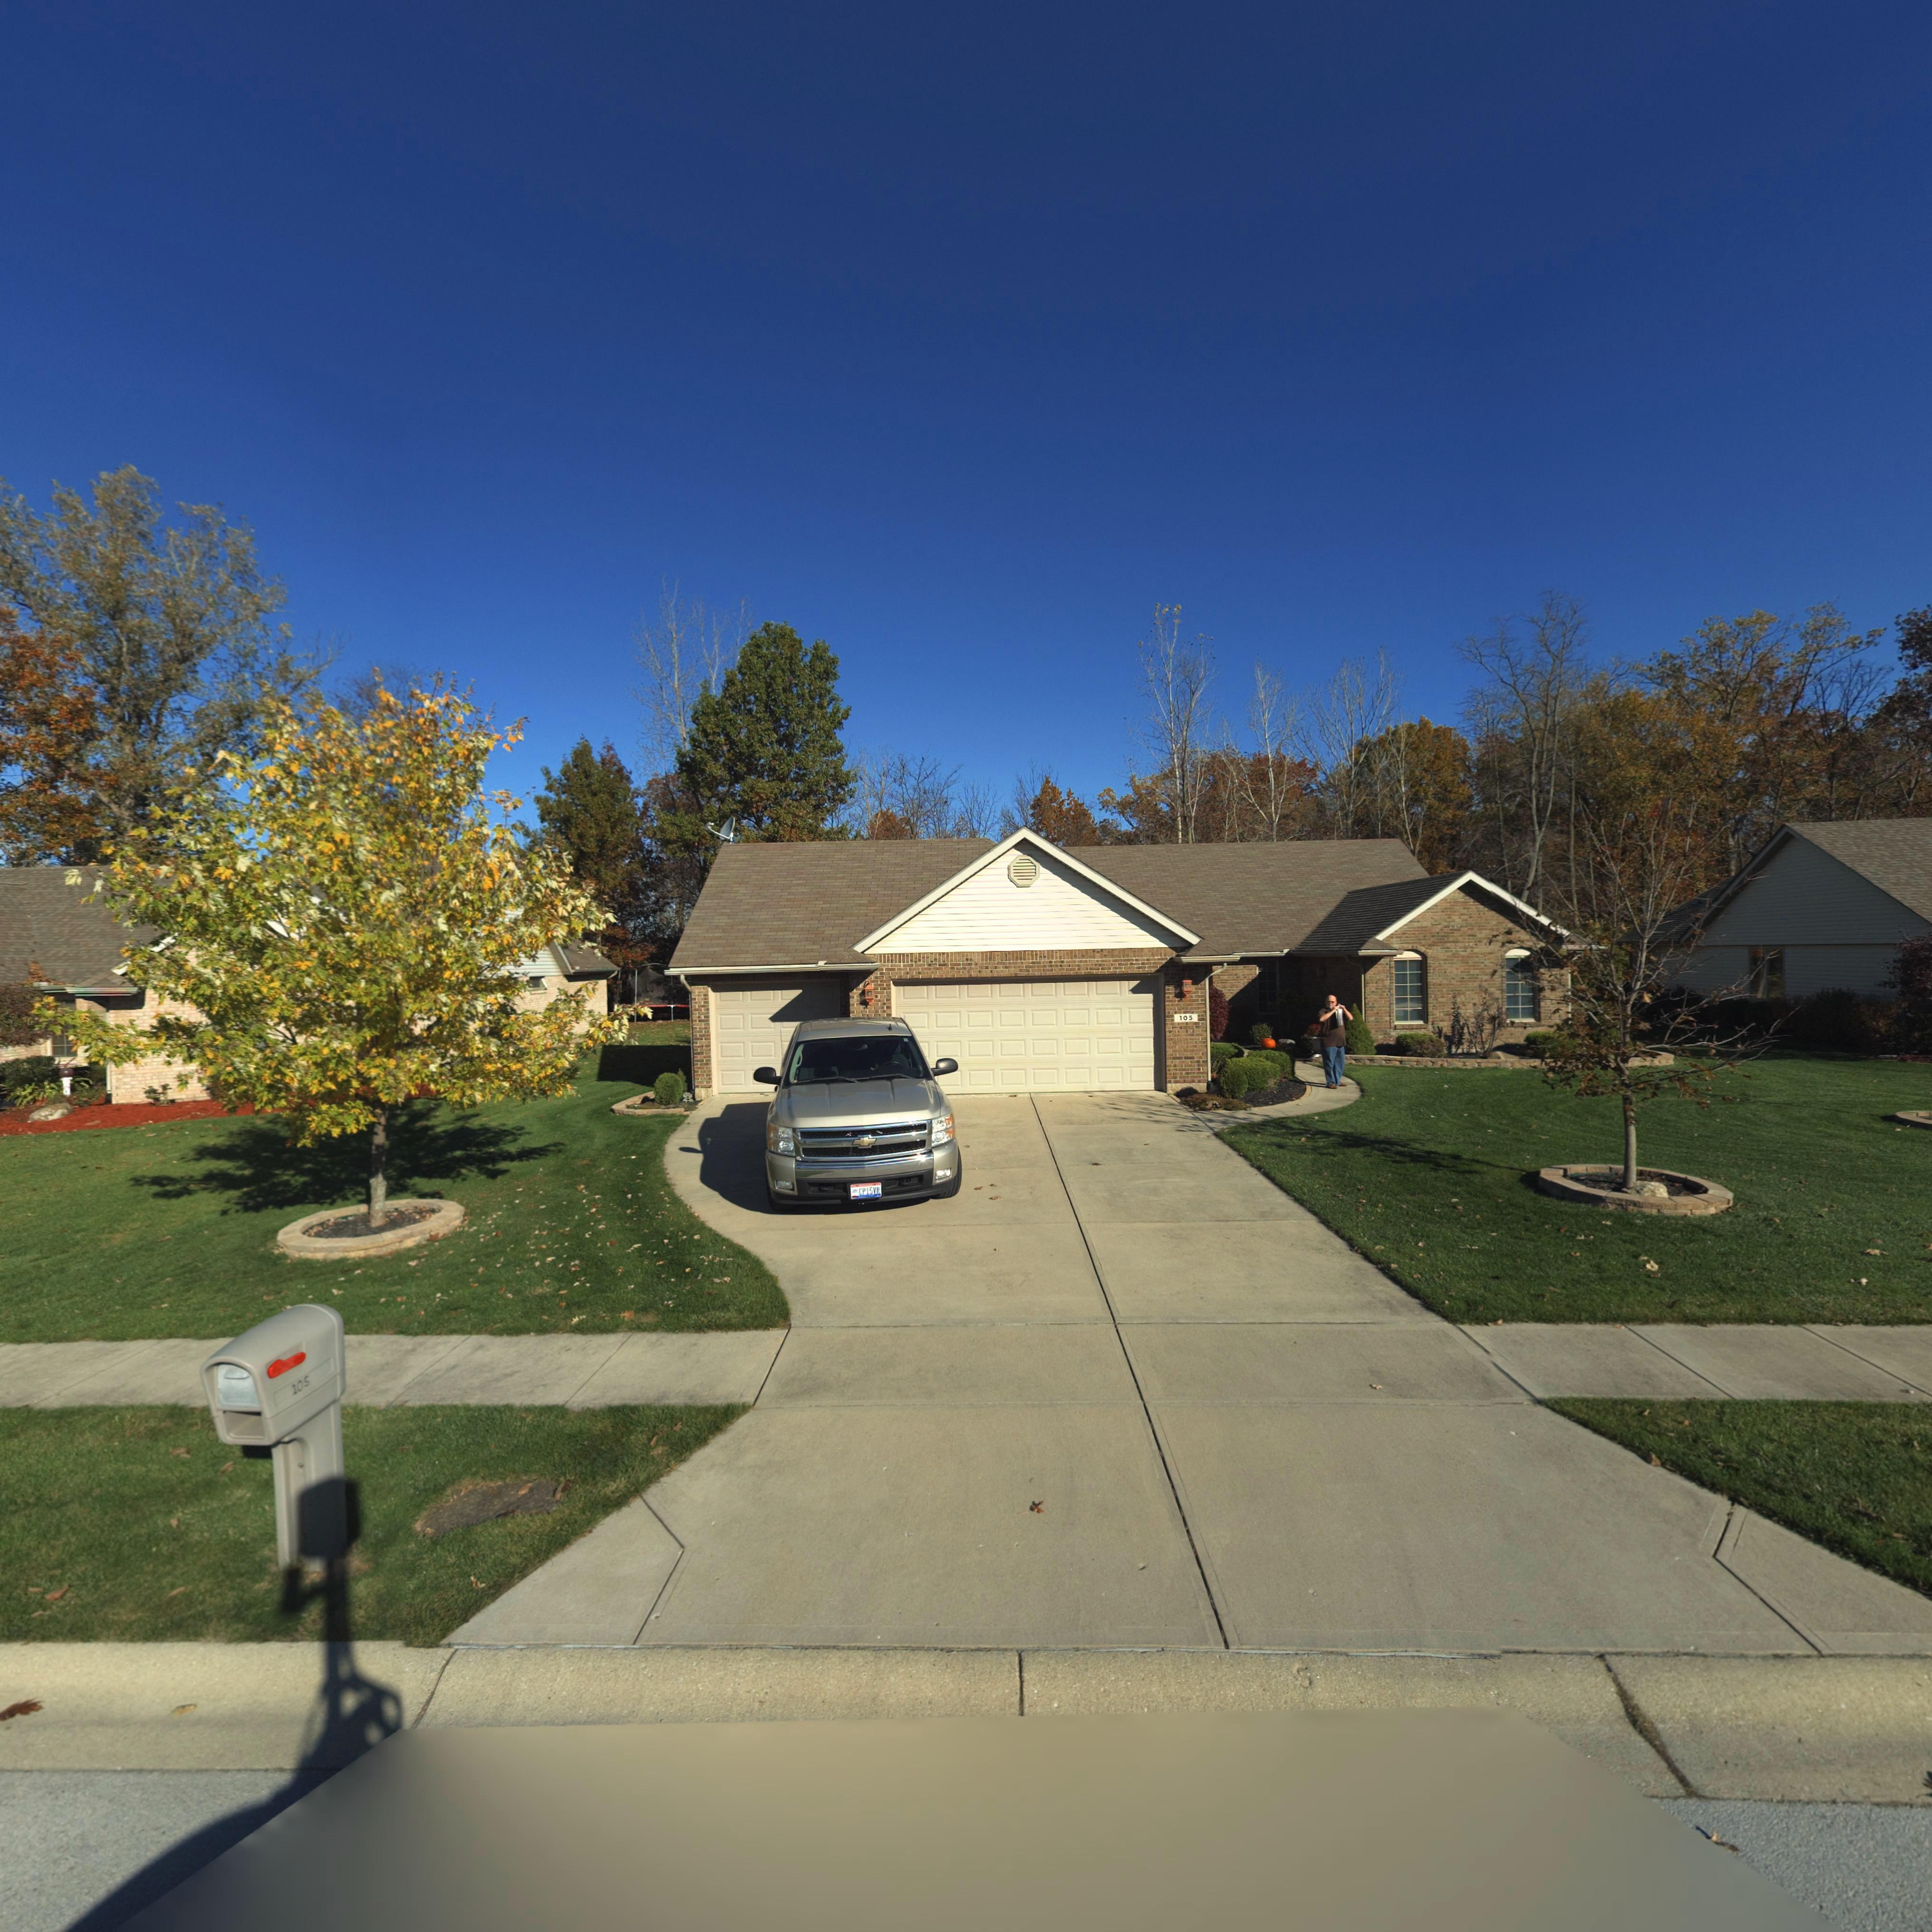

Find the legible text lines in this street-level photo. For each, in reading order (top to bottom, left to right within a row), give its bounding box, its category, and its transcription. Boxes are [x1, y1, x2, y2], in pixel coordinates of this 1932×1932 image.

[1179, 1014, 1194, 1022] StreetNumber: 105
[289, 1372, 313, 1399] StreetNumber: 105